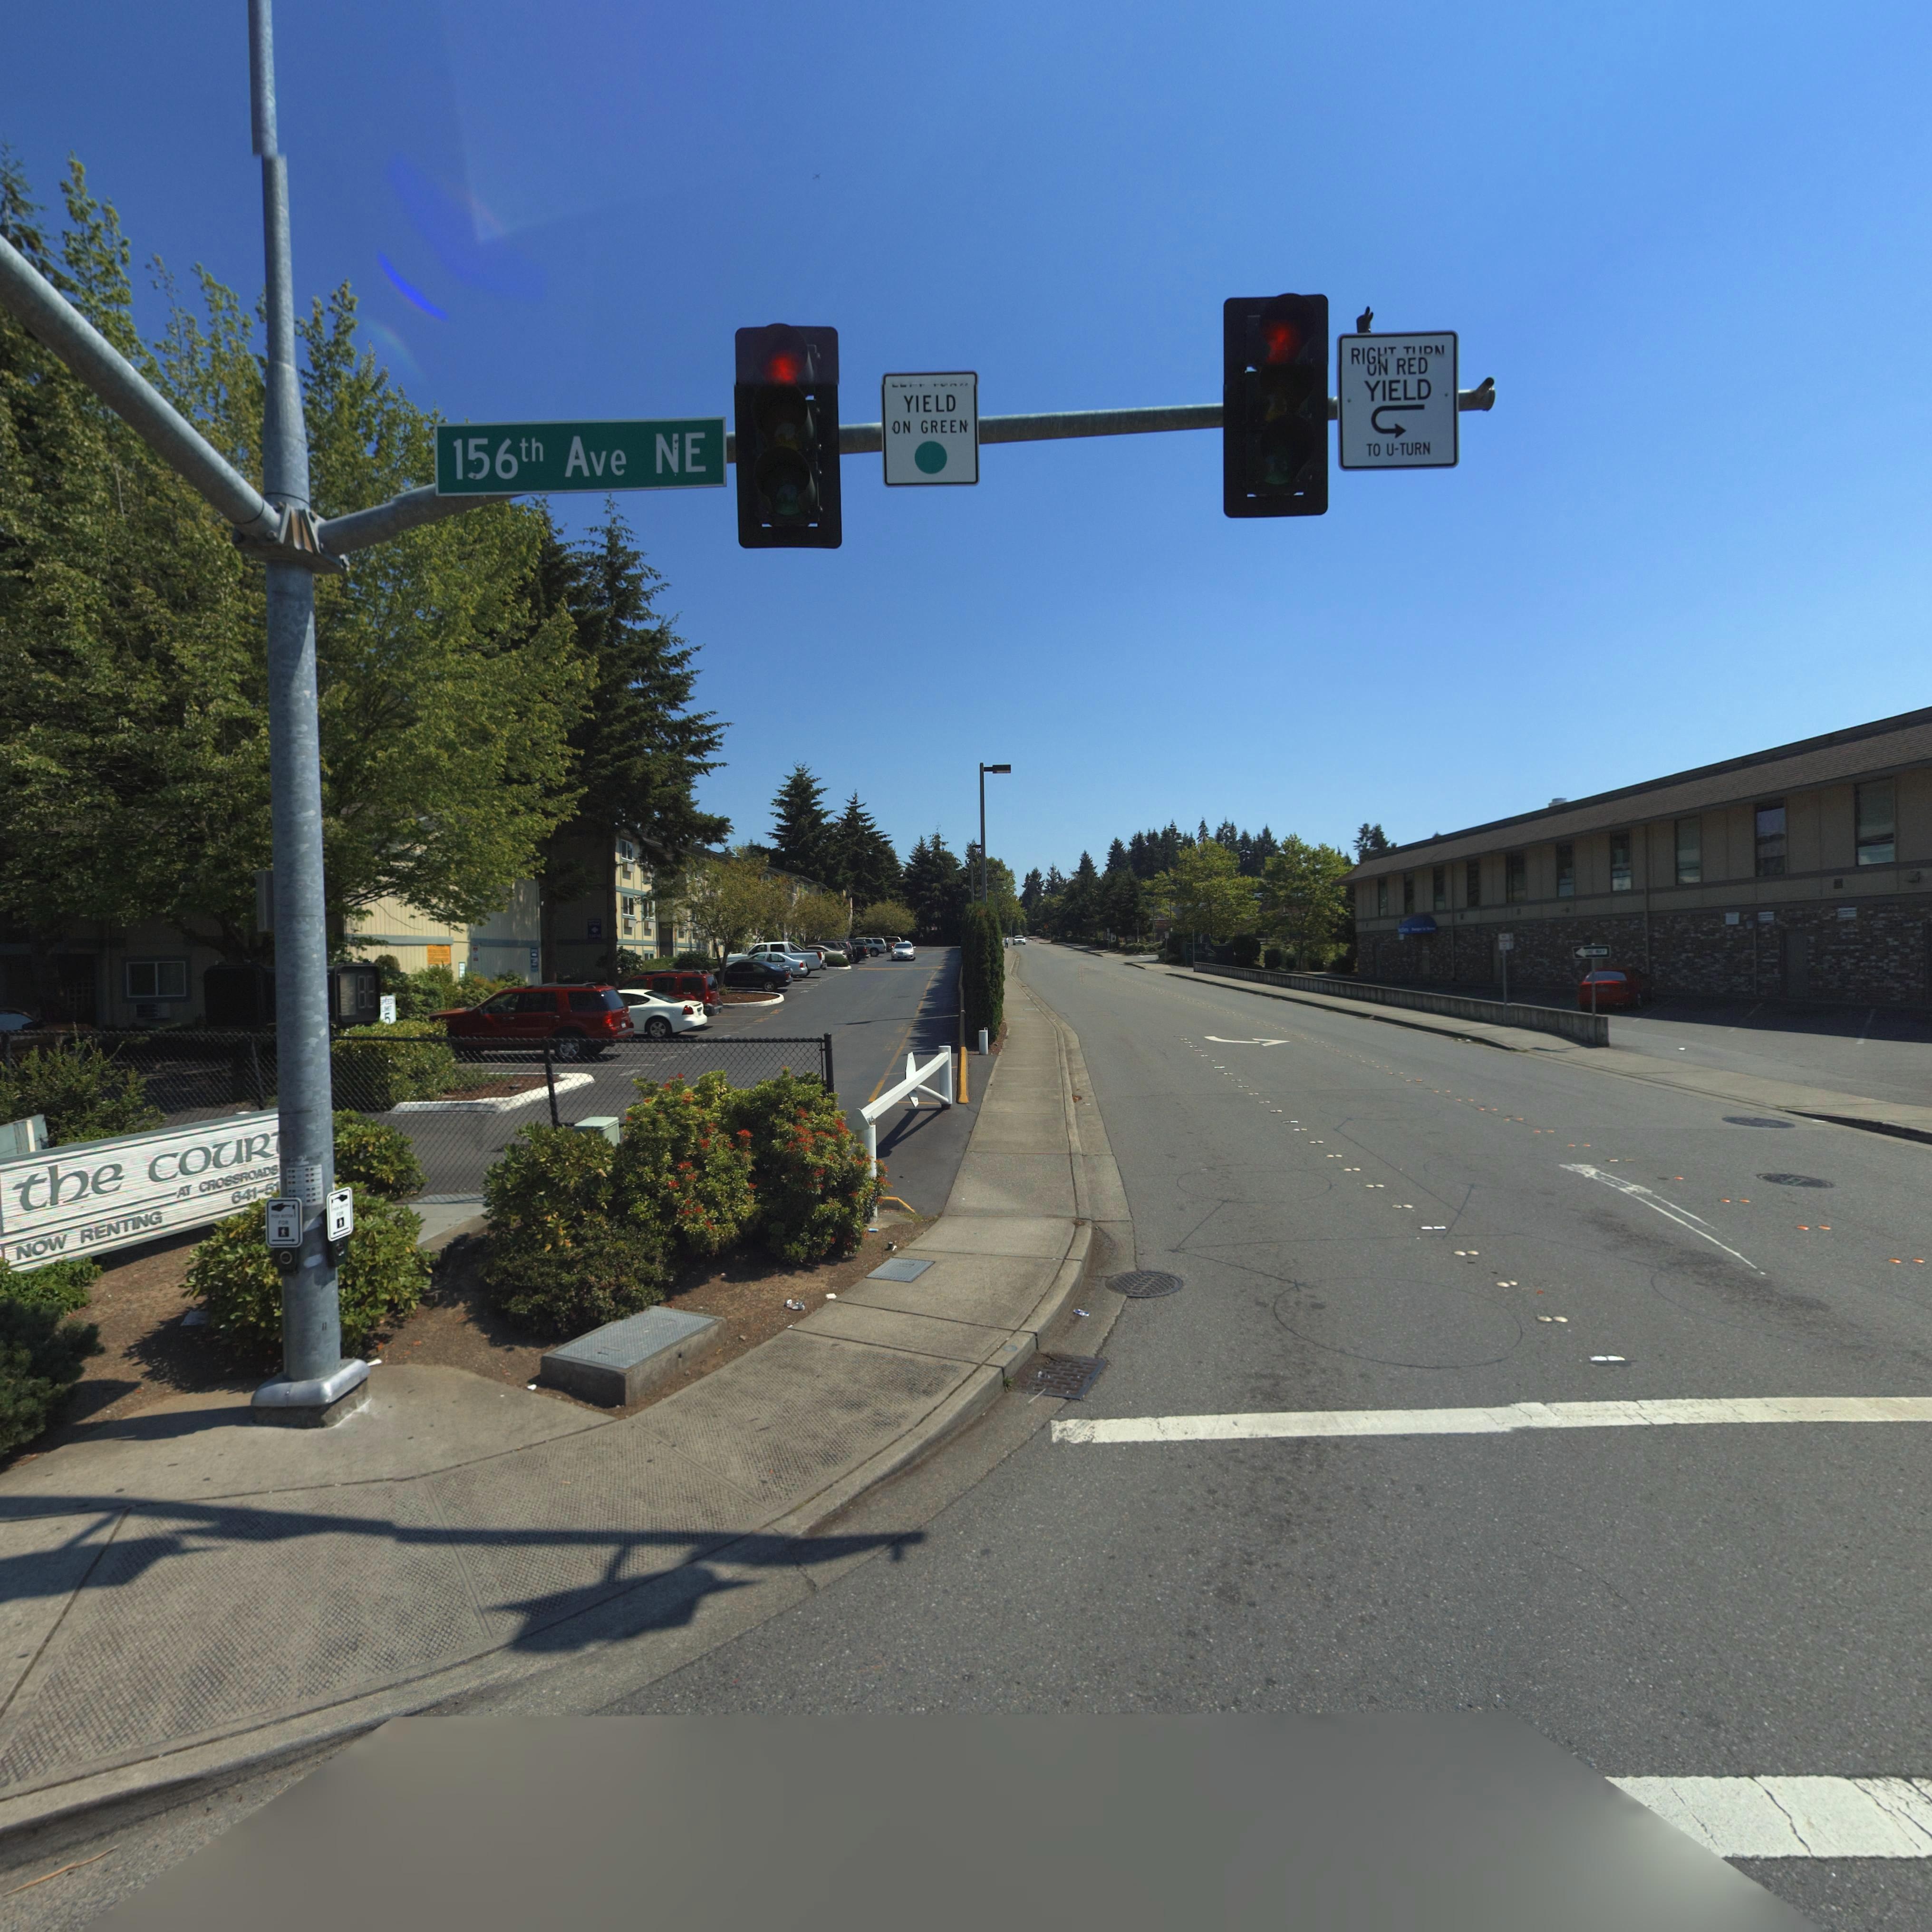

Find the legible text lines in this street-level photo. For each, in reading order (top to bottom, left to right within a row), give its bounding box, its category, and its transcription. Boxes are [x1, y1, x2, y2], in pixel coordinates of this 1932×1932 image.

[454, 429, 706, 481] StreetName: 156th Ave NE
[146, 1128, 277, 1183] BusinessName: couR
[10, 1160, 124, 1214] BusinessName: the